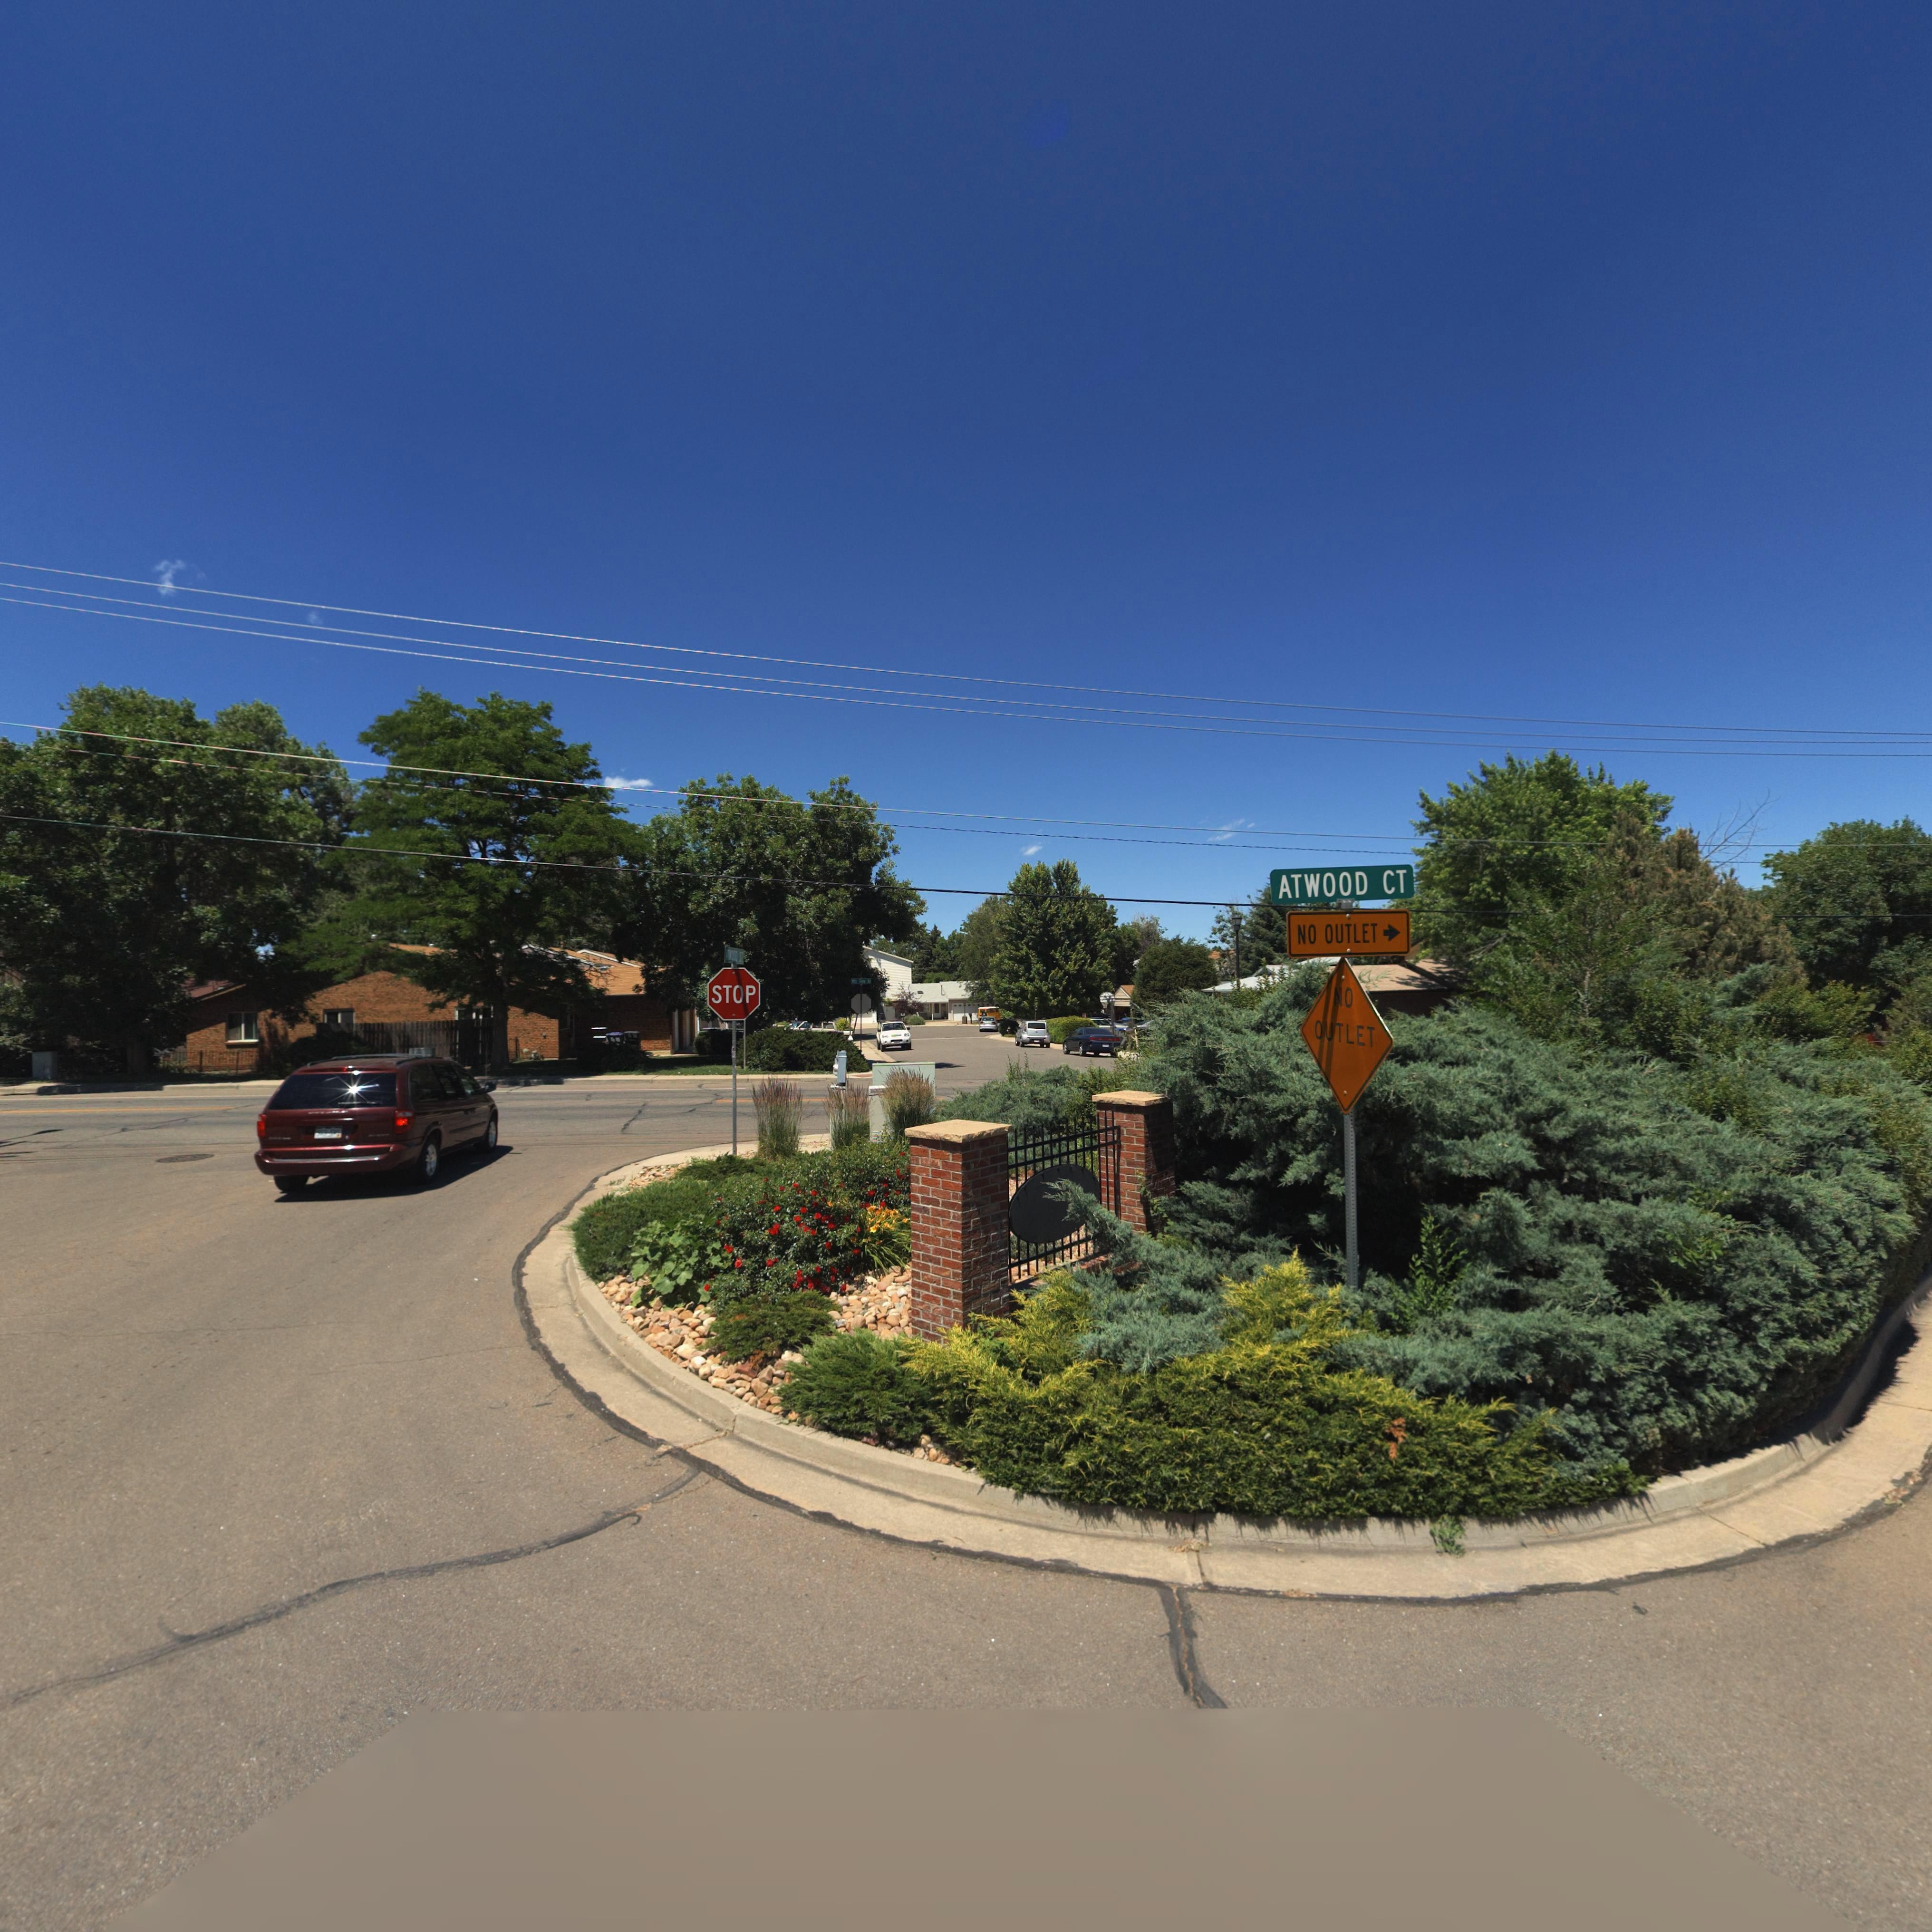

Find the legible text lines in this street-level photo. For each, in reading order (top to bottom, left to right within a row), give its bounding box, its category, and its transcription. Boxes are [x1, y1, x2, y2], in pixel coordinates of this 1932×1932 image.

[1277, 869, 1408, 899] StreetName: ATWOOD CT
[724, 948, 744, 962] StreetName: ATWOOD ST
[851, 978, 871, 983] StreetName: Mtn View Av